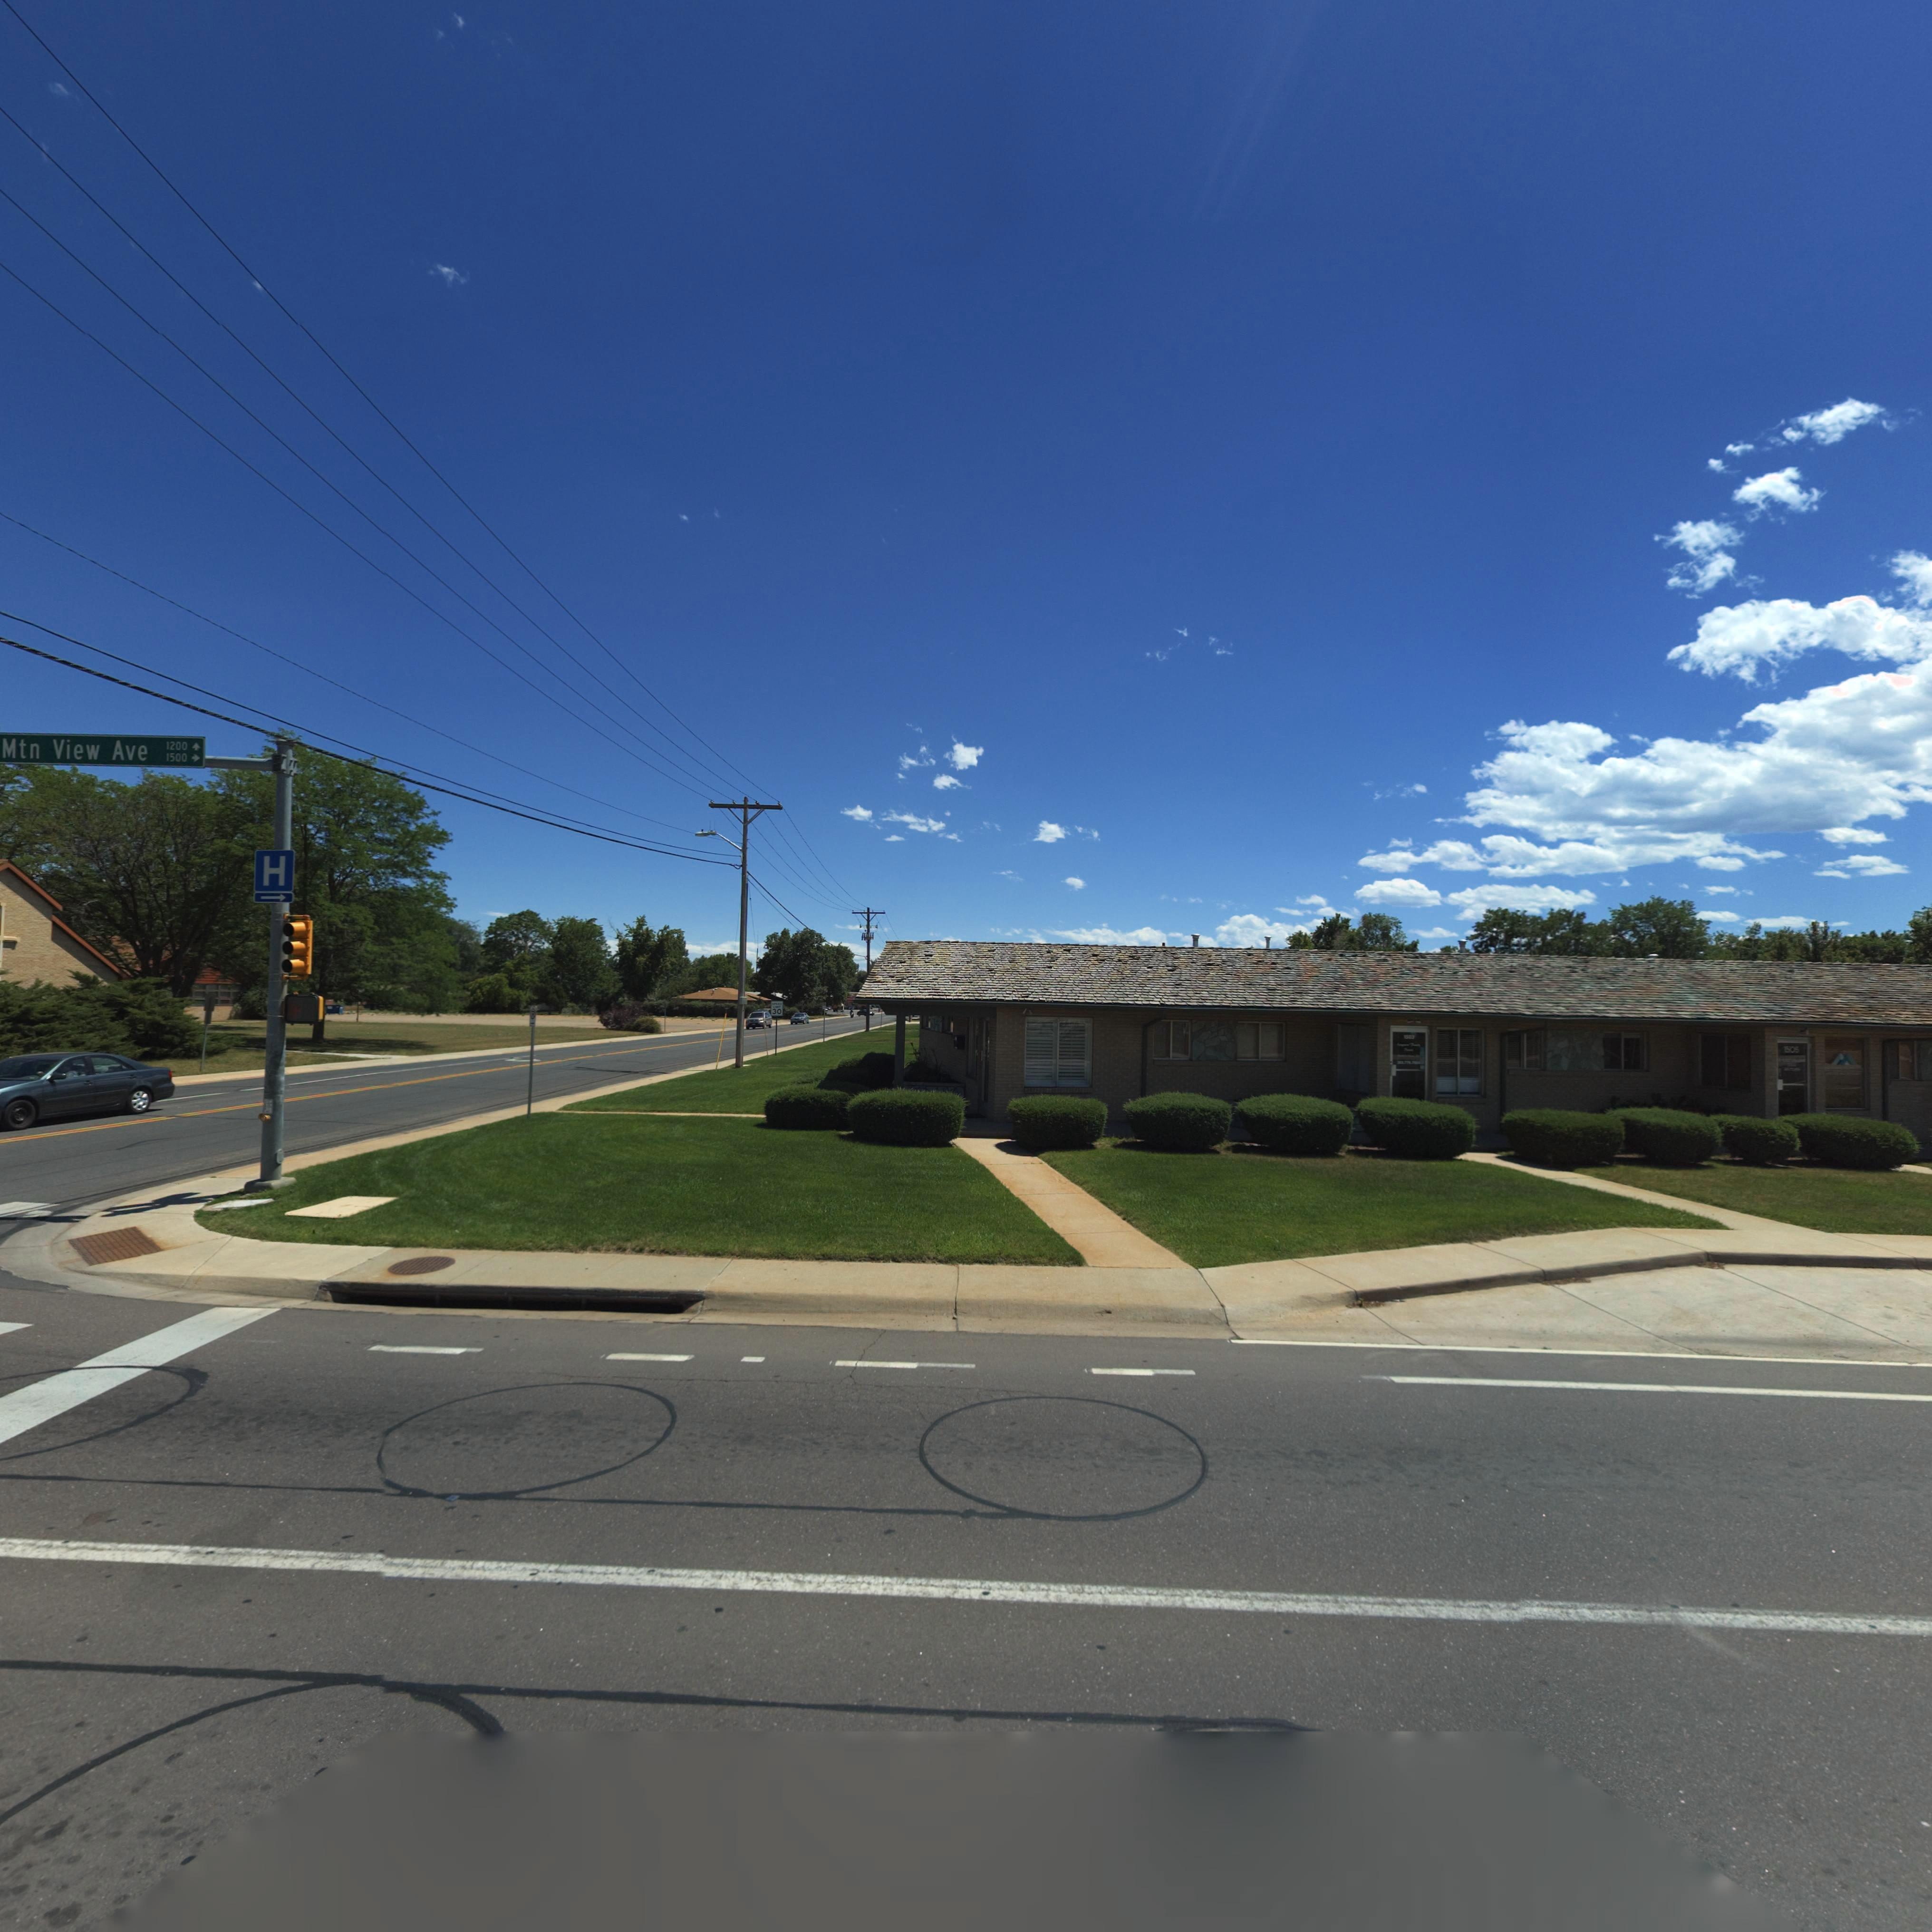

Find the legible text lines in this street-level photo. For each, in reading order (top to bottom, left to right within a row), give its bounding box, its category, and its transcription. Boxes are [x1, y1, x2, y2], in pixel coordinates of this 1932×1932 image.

[3, 738, 148, 762] StreetName: Mtn View Ave
[166, 741, 188, 751] StreetNumberRange: 1200
[165, 752, 200, 762] StreetNumberRange: 1500 ->
[1403, 1034, 1415, 1039] StreetNumber: 1503
[1783, 1045, 1799, 1053] StreetNumber: 1505